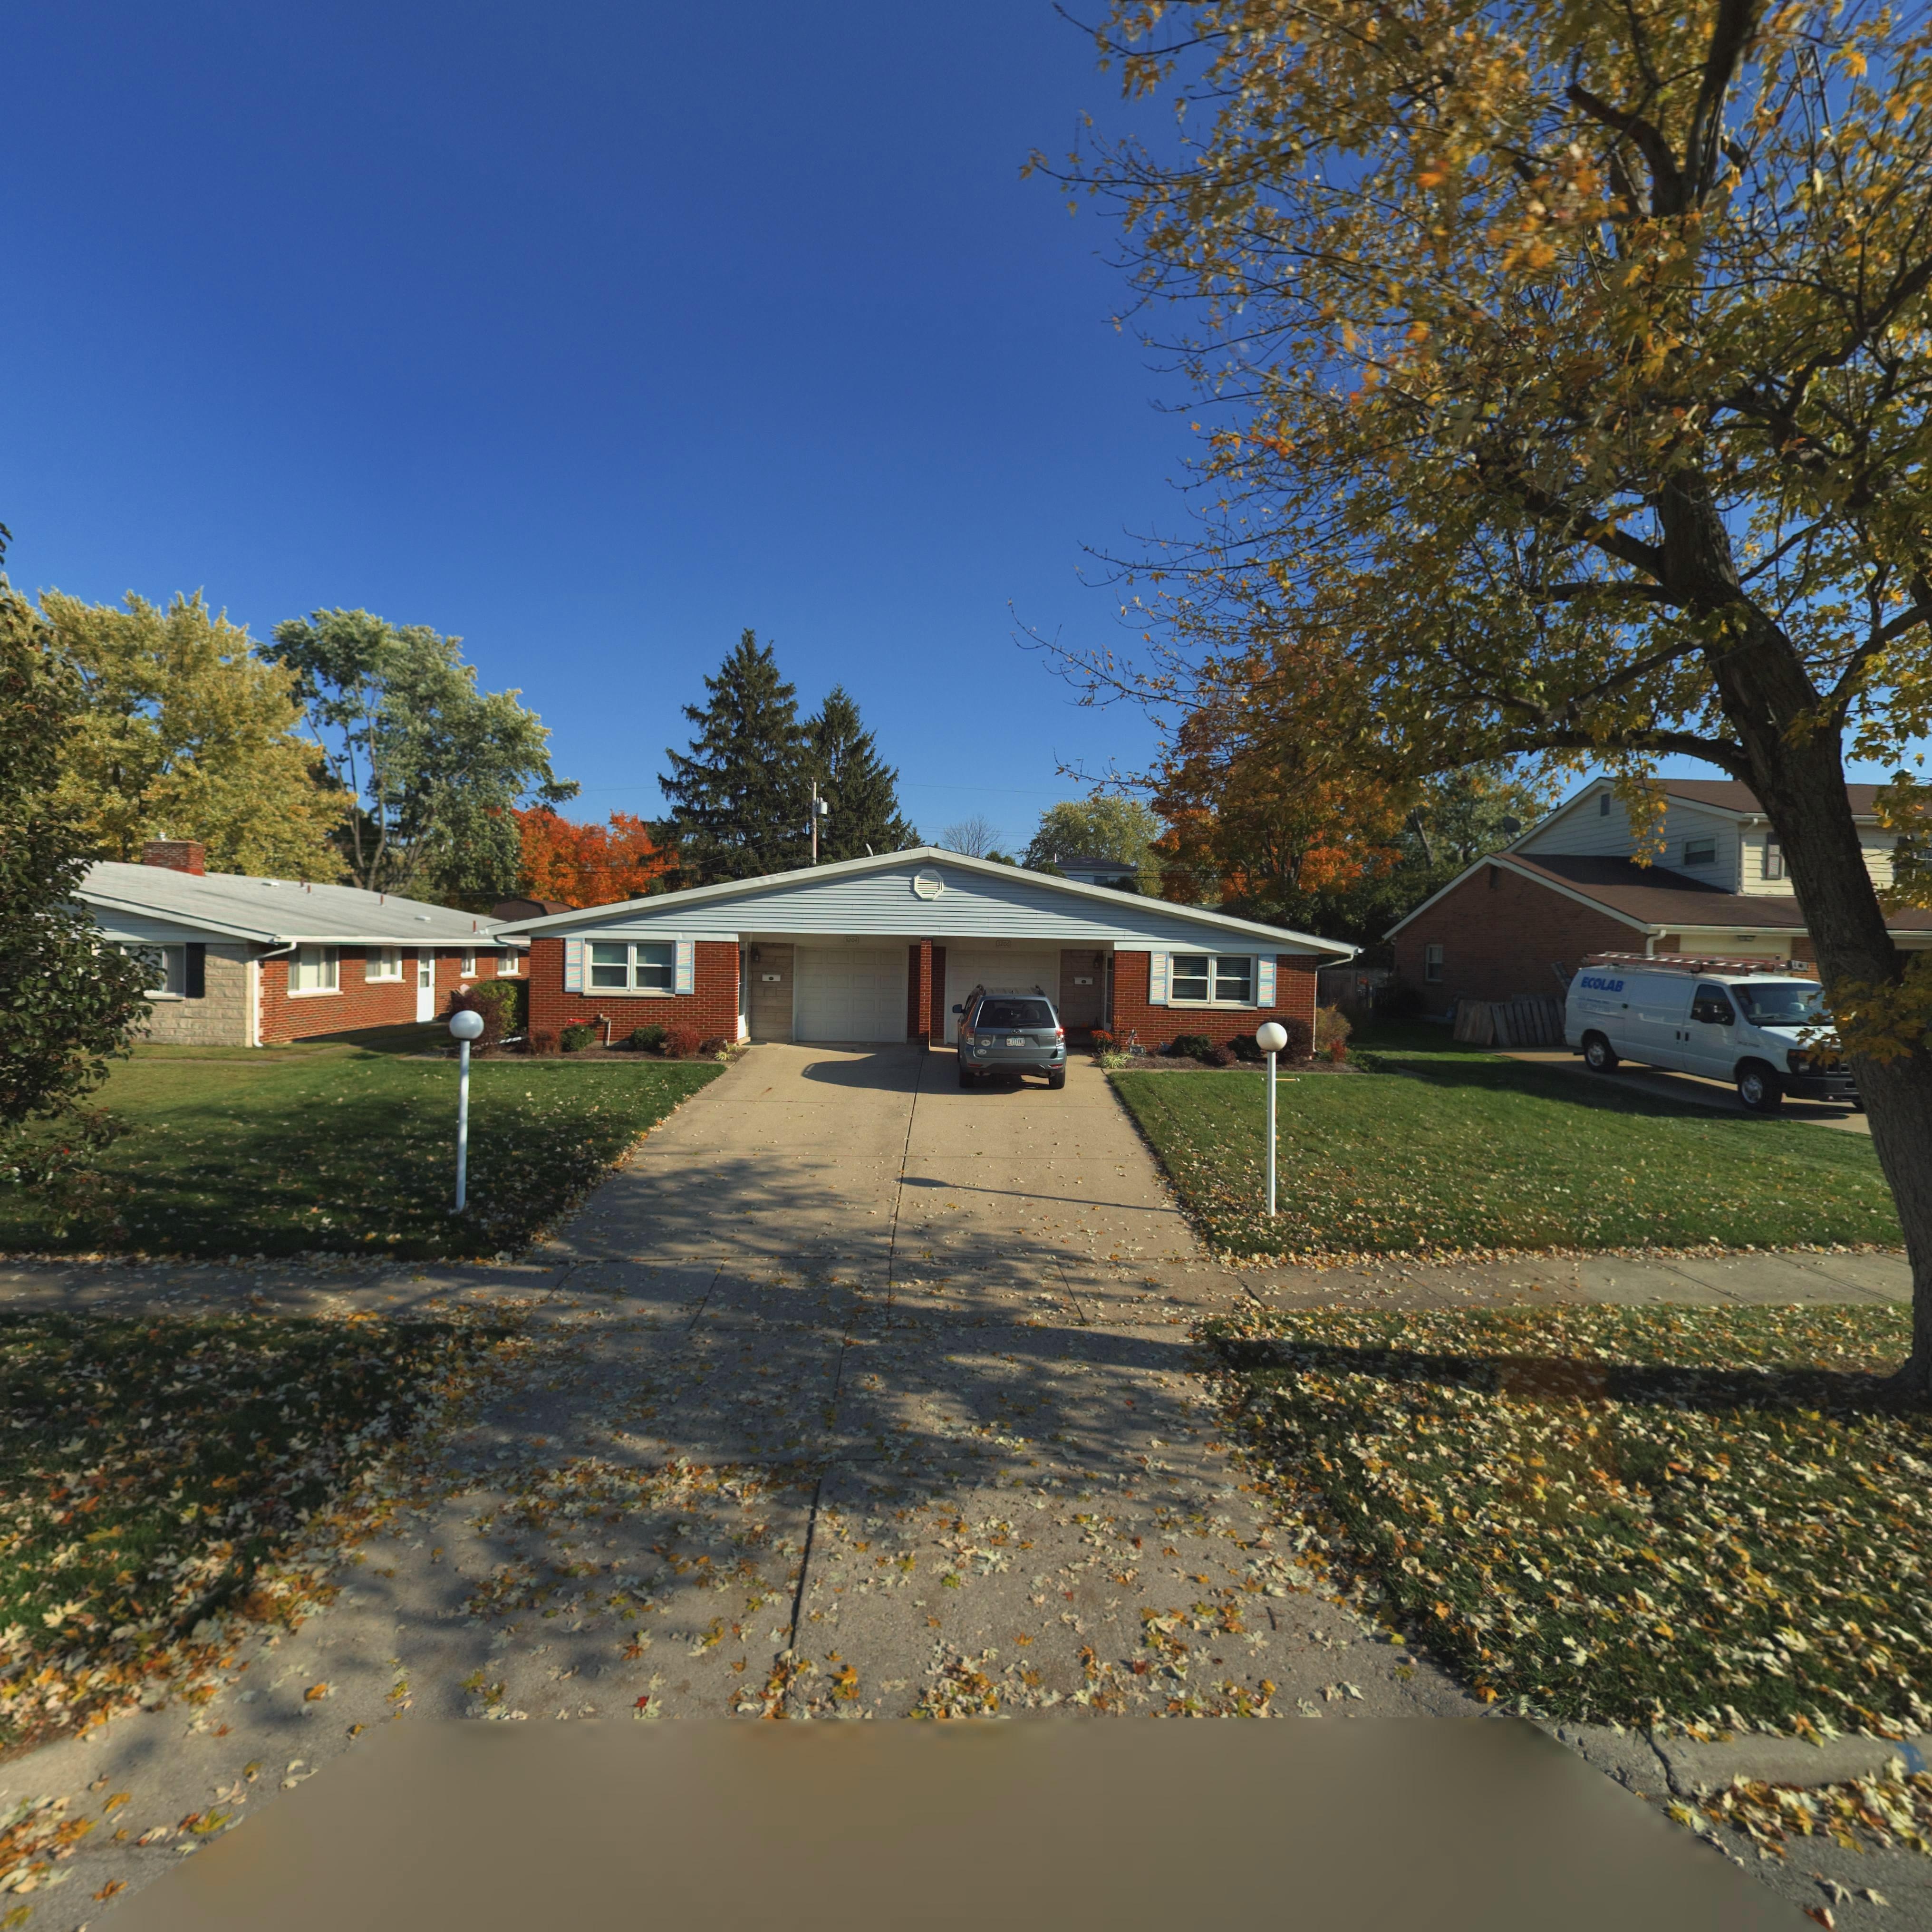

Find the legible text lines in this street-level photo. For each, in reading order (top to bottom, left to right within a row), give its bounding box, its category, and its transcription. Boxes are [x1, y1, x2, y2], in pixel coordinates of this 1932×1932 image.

[844, 937, 858, 943] StreetNumber: 3204
[997, 941, 1010, 947] StreetNumber: 3206